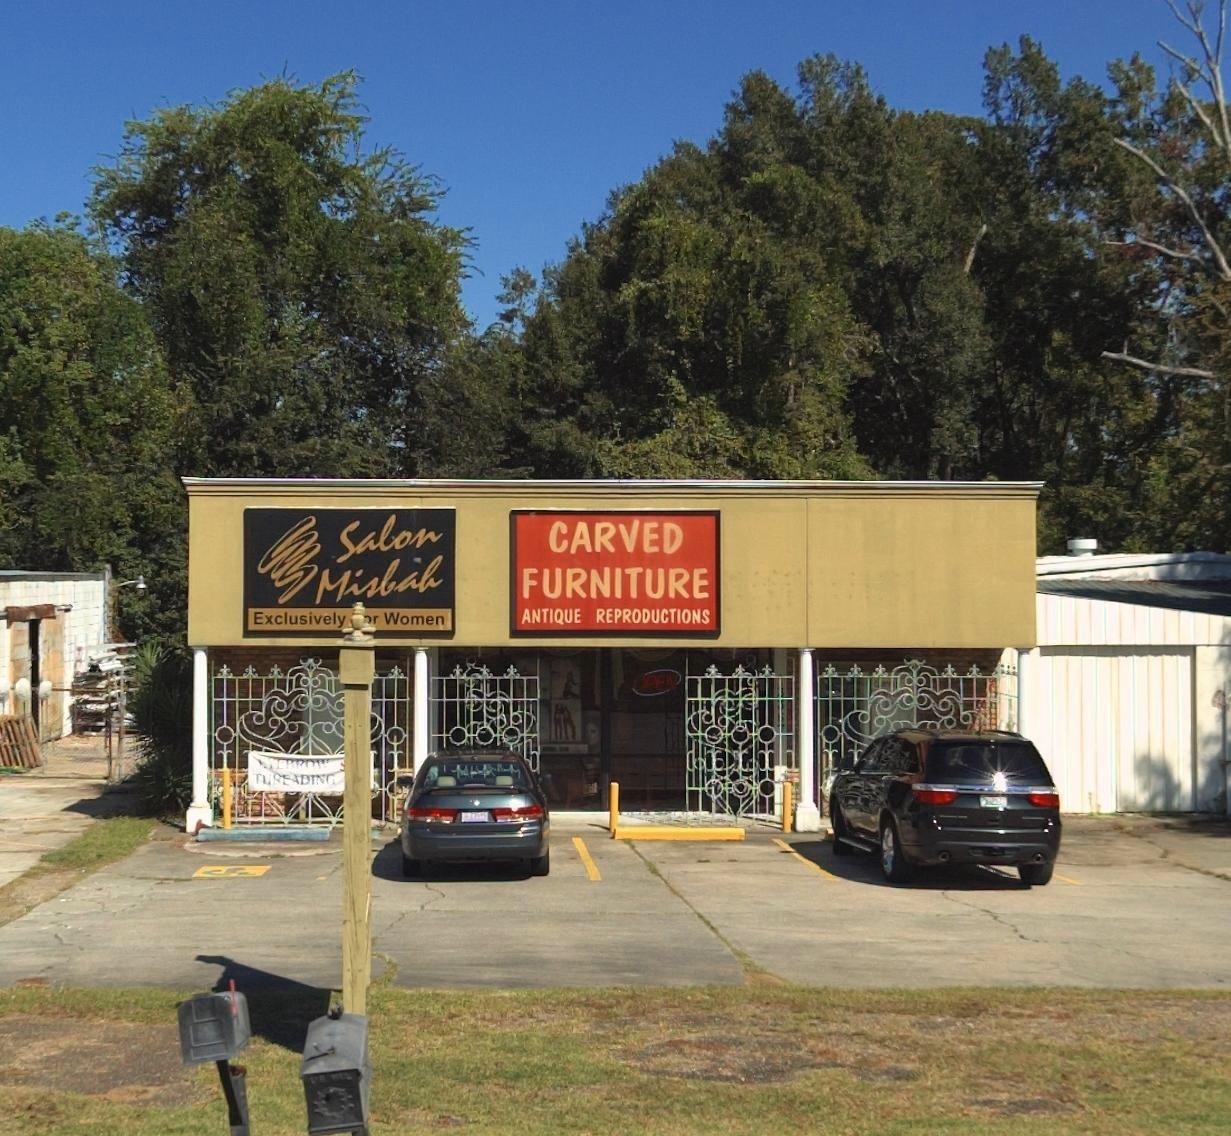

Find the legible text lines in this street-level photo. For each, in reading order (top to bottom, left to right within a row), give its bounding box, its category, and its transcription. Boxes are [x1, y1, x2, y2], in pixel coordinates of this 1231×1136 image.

[334, 512, 445, 565] BusinessName: Salon
[546, 518, 686, 555] BusinessName: CARVED
[313, 553, 446, 607] BusinessName: Misbah
[521, 565, 712, 601] BusinessName: FURNITURE
[252, 610, 446, 629] None: Exclusively **r Women
[520, 606, 712, 625] None: ANTIQUE REPRODUCTIONS
[632, 673, 679, 693] None: OPEN
[263, 757, 331, 771] None: ****OW
[252, 772, 337, 786] None: T*READING